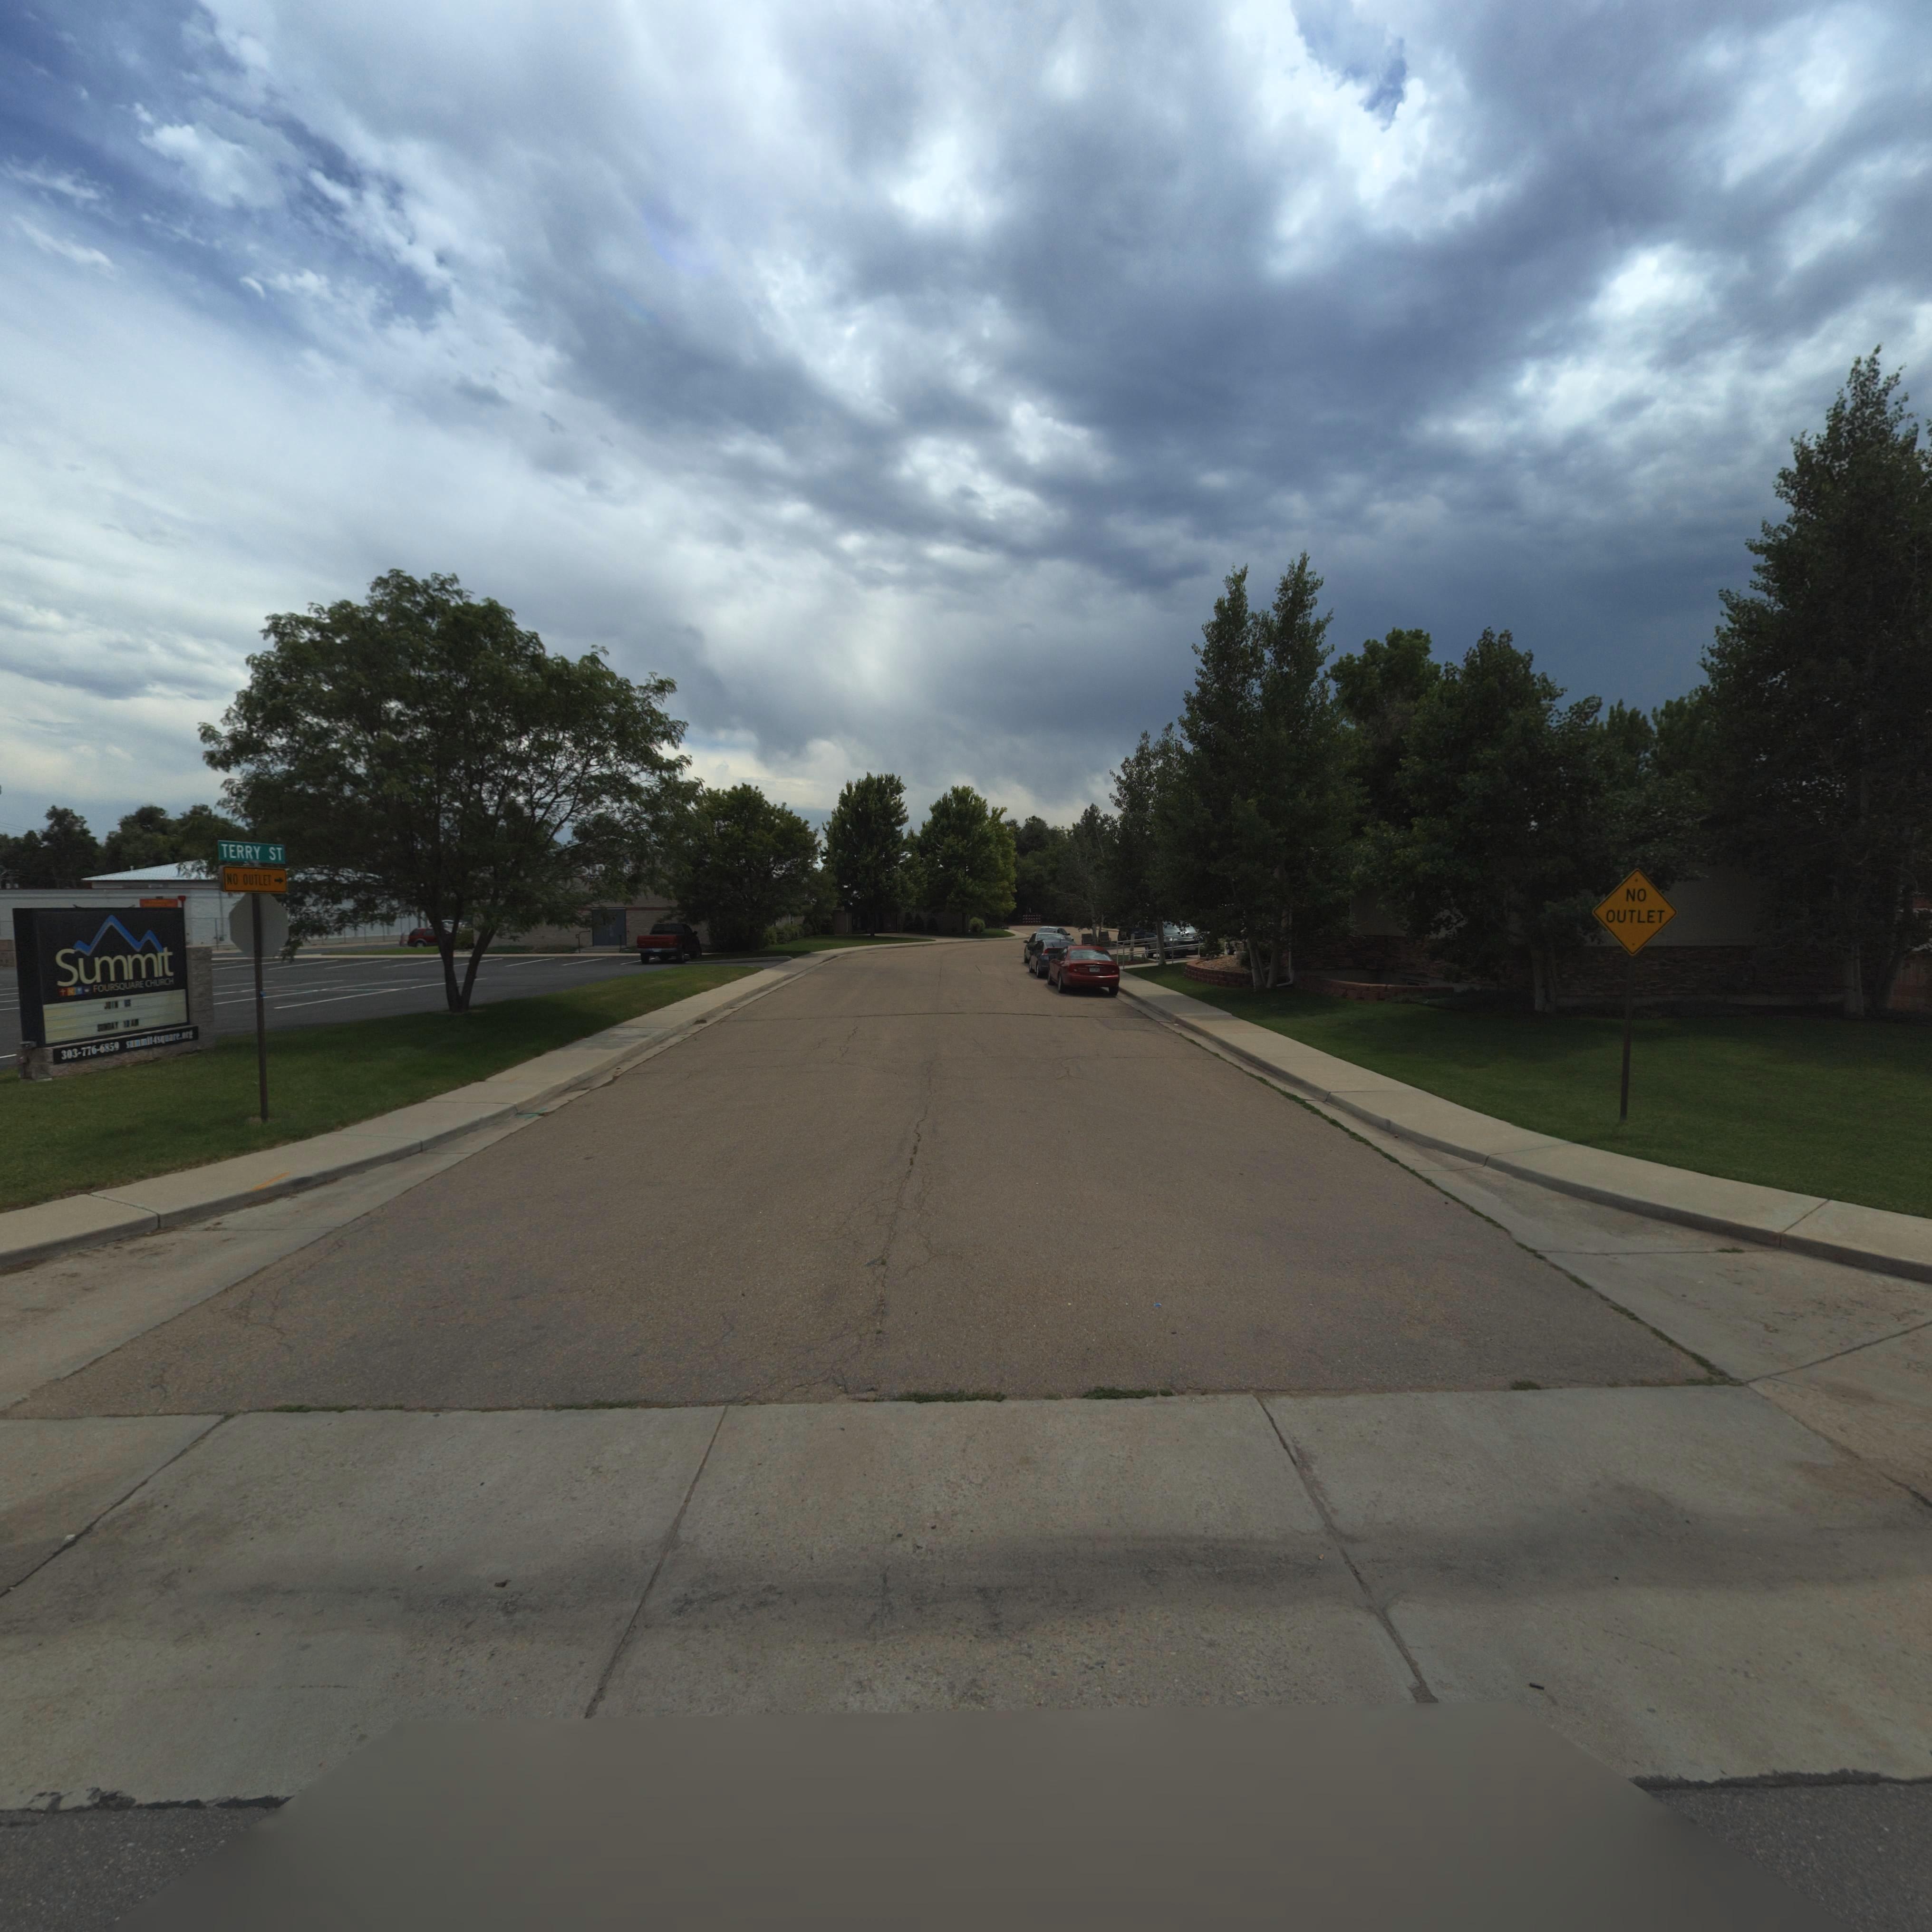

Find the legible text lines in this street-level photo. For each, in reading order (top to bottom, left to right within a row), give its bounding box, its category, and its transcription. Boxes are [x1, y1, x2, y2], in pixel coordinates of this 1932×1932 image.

[219, 843, 283, 861] StreetName: TERRY ST
[53, 945, 175, 987] BusinessName: Su*mit
[93, 977, 175, 993] BusinessName: FOURSQUARE CHURCH